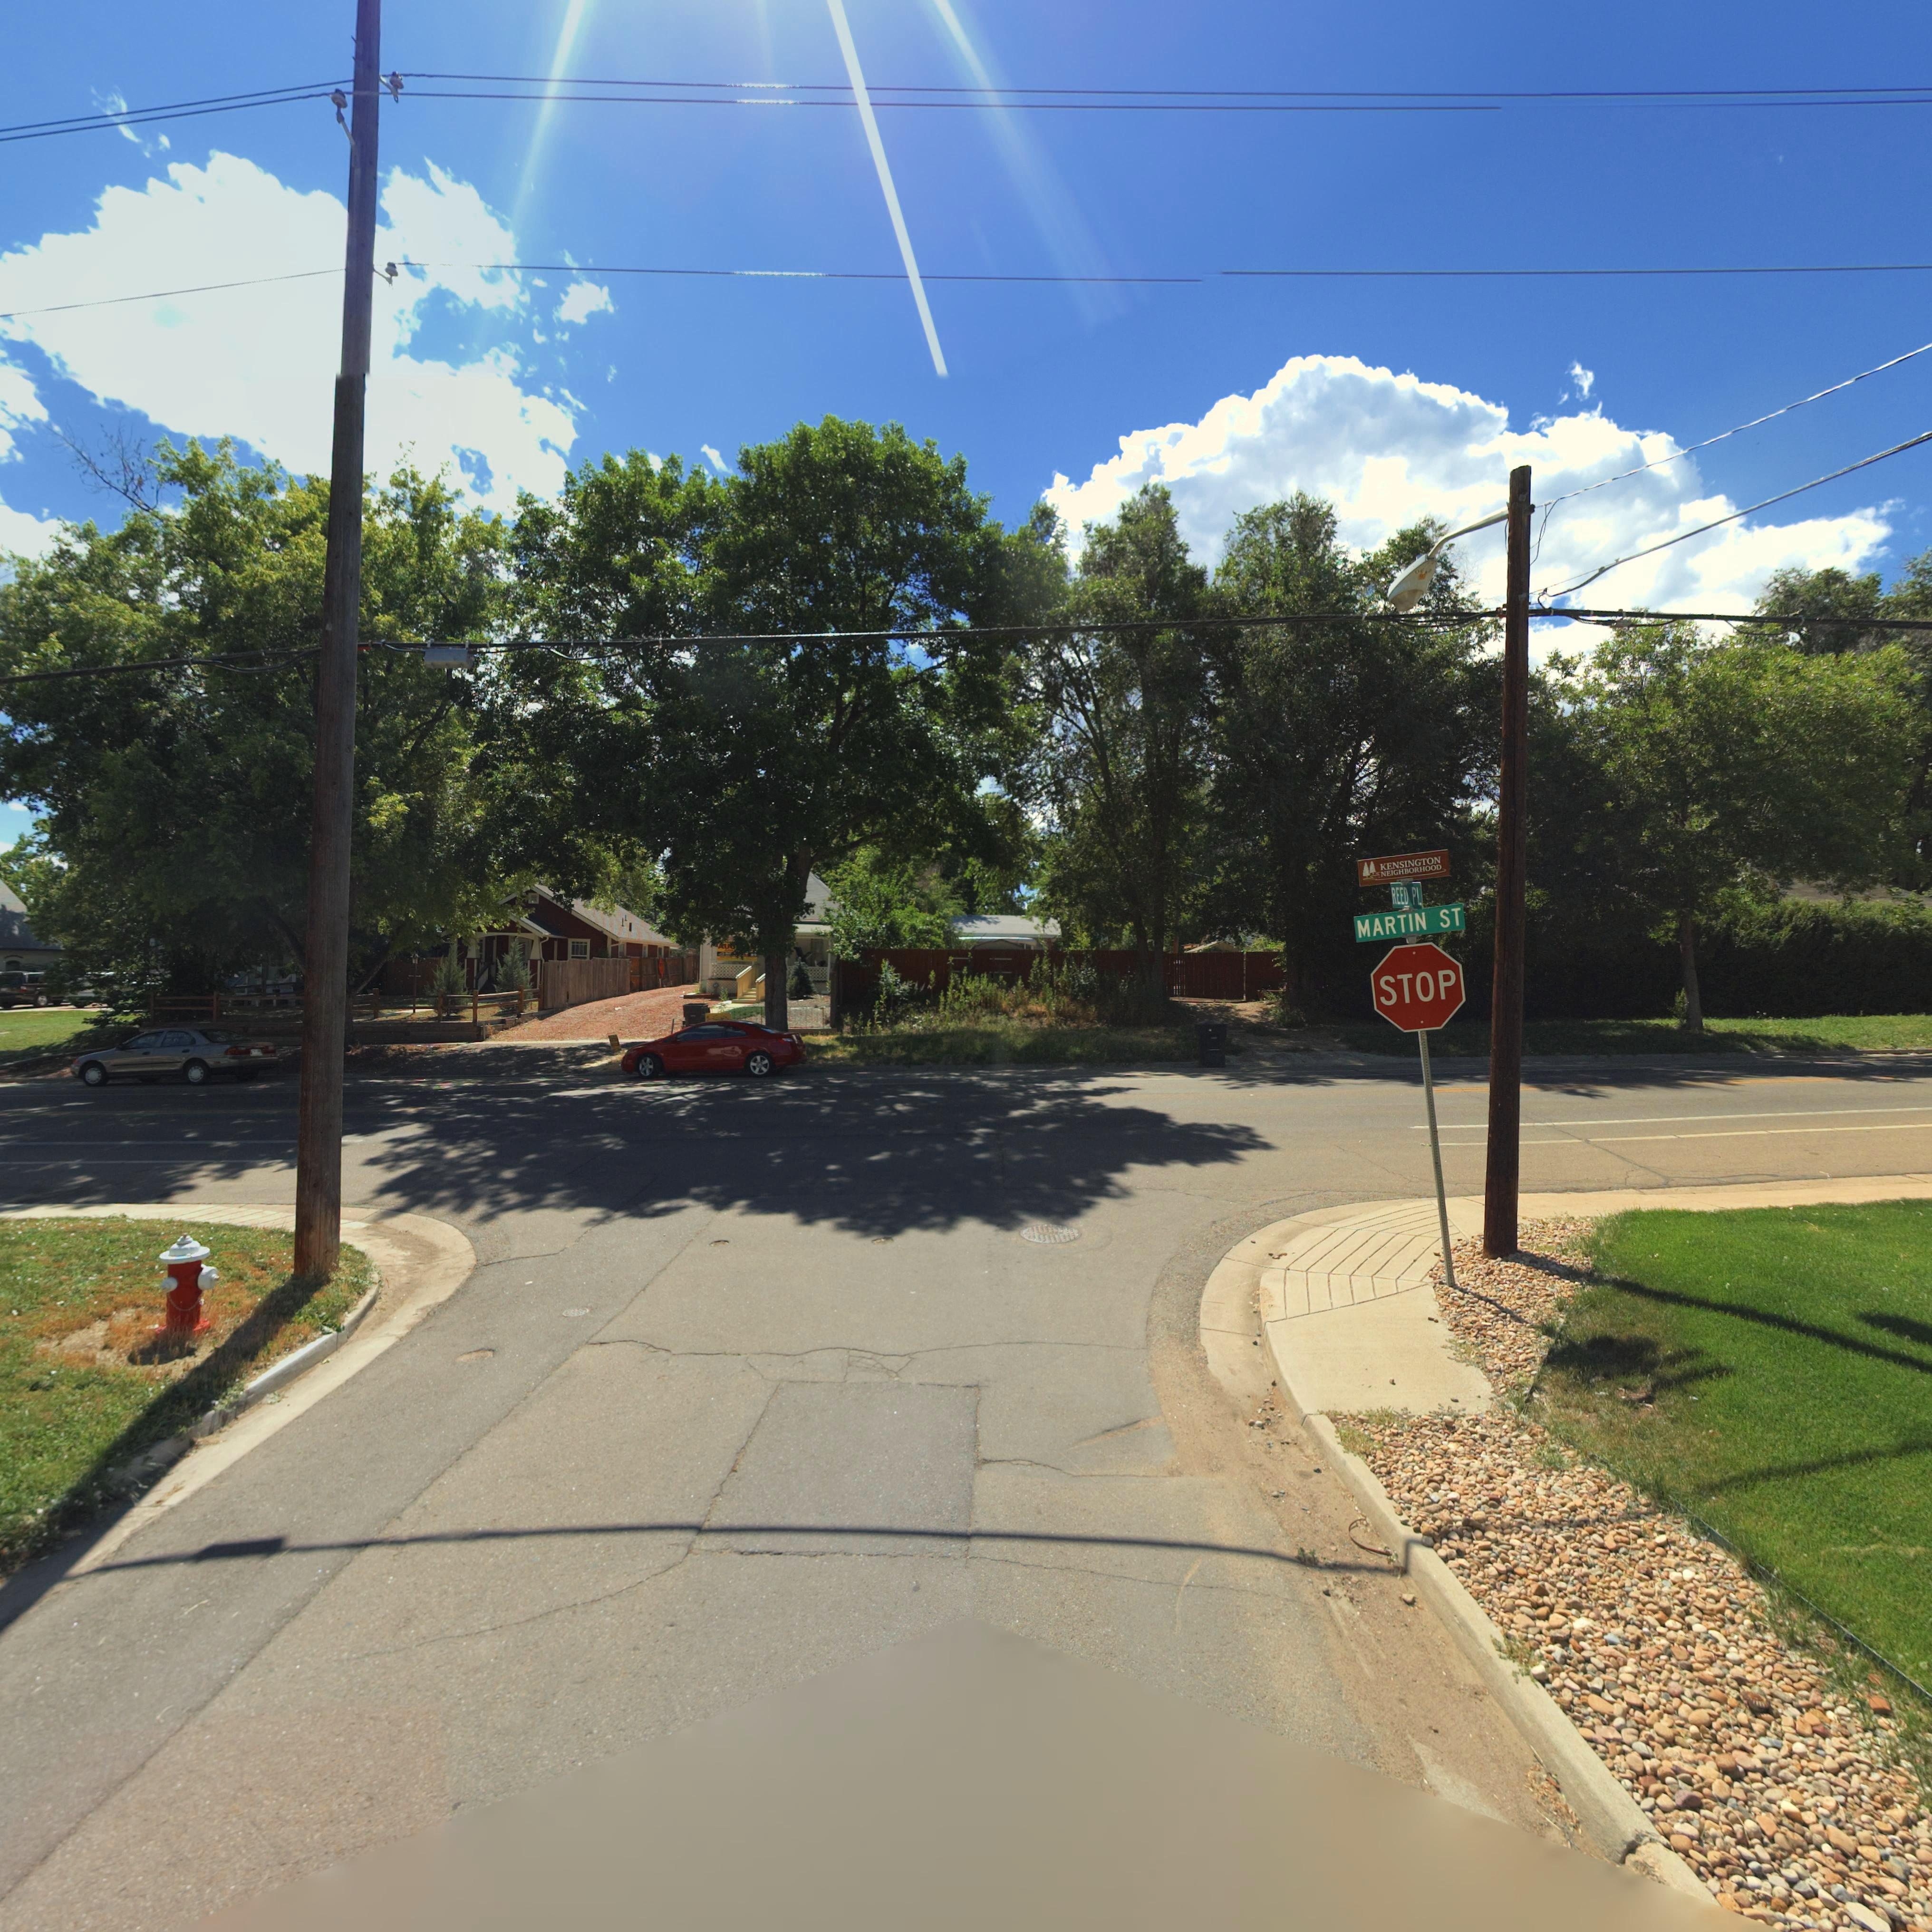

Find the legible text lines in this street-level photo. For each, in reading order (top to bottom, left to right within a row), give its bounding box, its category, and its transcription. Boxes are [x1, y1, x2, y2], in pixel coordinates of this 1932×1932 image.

[1391, 886, 1422, 906] StreetName: REED PL
[1356, 907, 1461, 939] StreetName: MARTIN ST